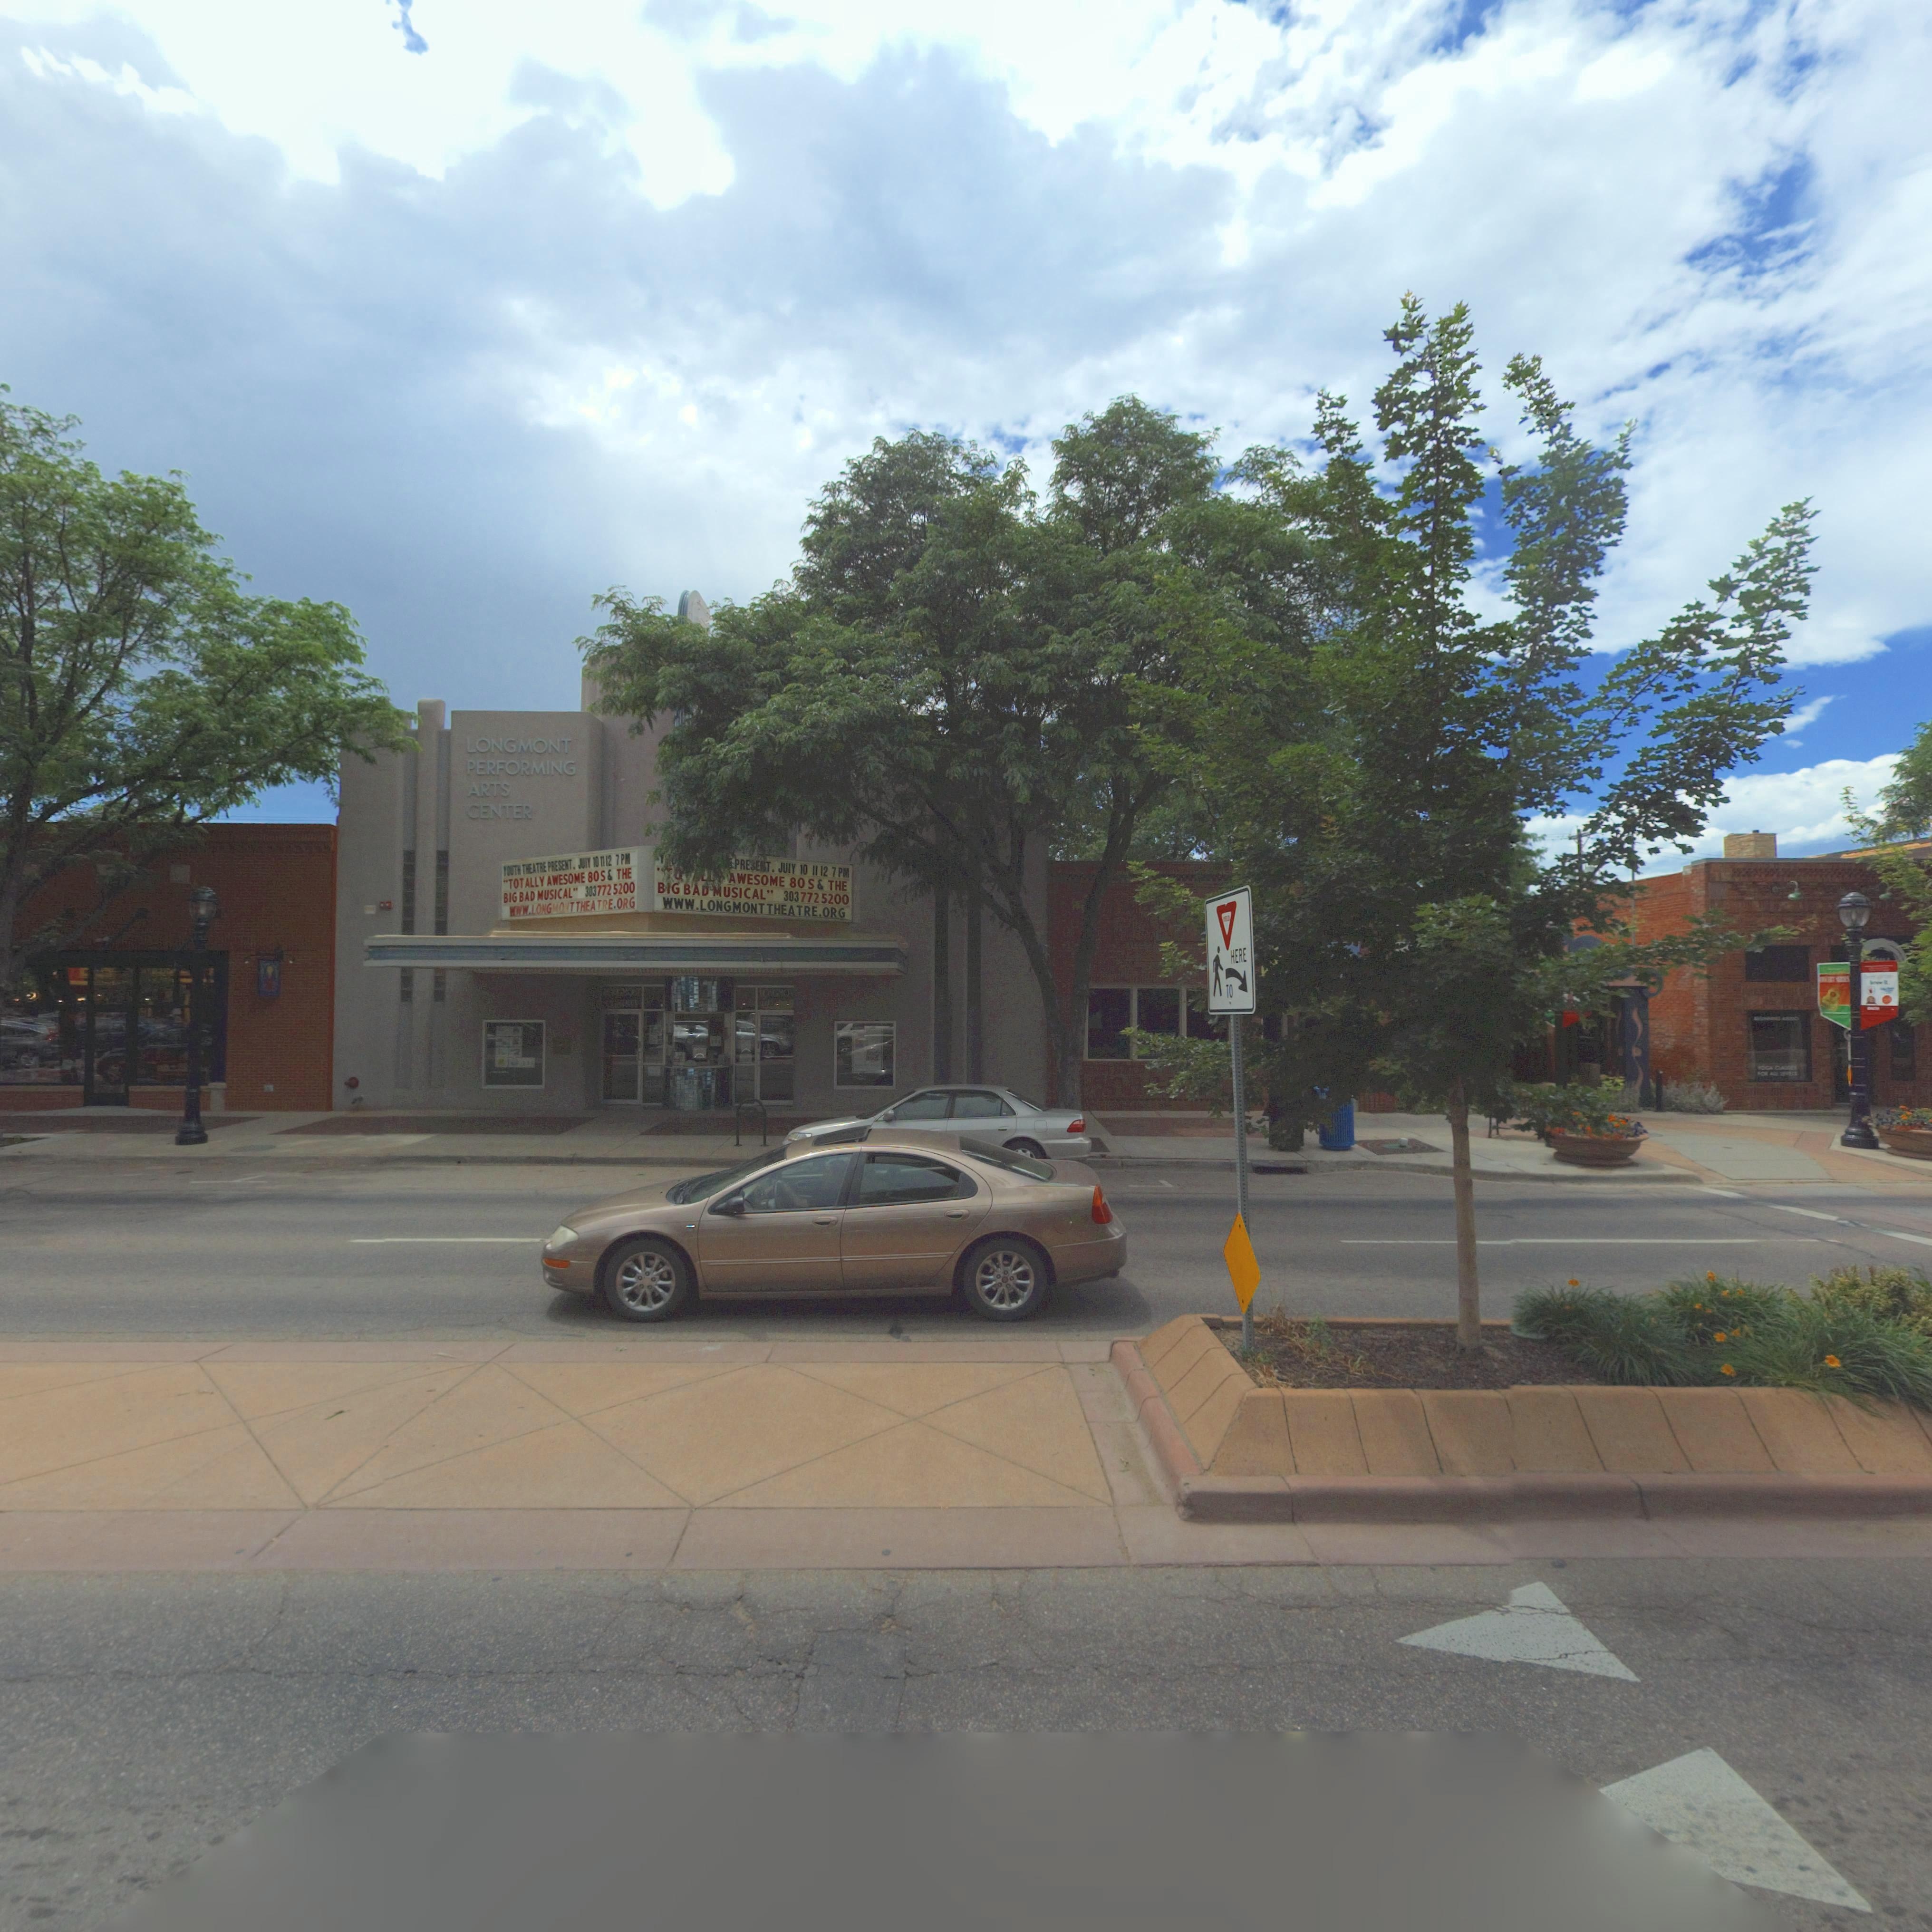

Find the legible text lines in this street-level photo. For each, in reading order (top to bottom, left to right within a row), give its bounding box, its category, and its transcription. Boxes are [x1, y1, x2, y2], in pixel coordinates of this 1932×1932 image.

[465, 736, 572, 755] BusinessName: LONGMONT
[465, 758, 577, 777] BusinessName: PERFORMING
[465, 781, 512, 798] BusinessName: ARTS
[464, 801, 534, 821] BusinessName: CENTER